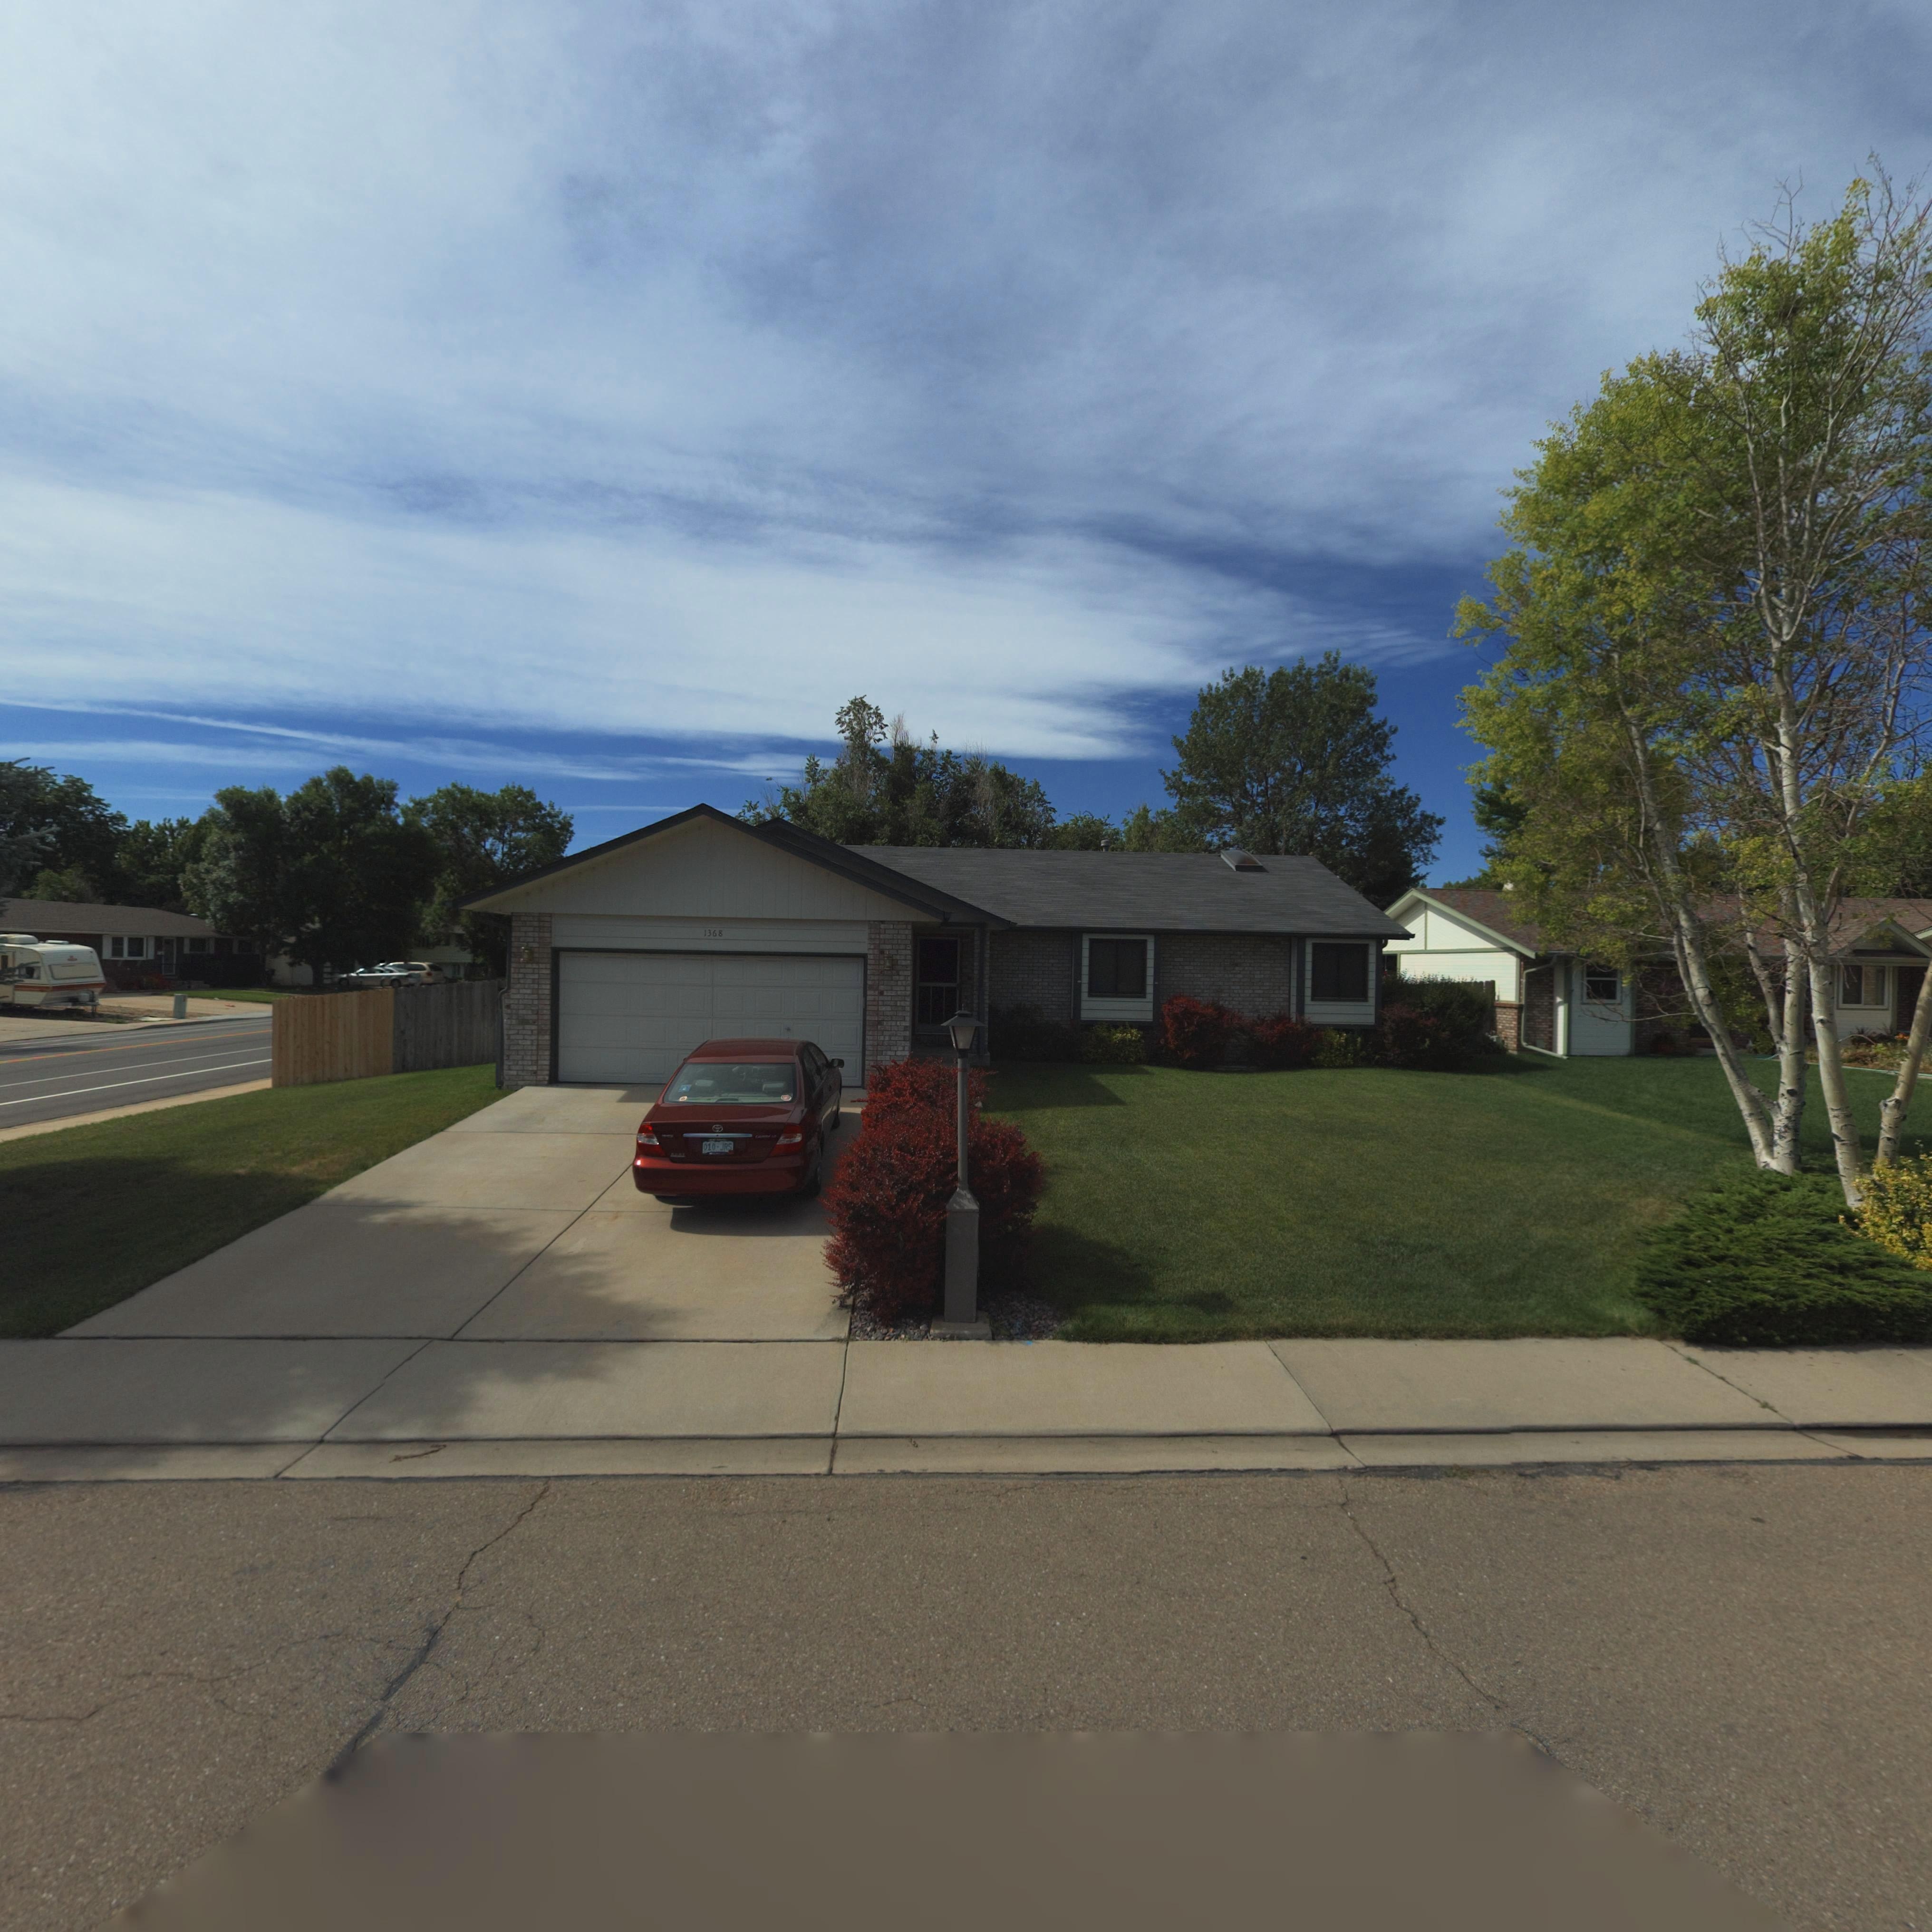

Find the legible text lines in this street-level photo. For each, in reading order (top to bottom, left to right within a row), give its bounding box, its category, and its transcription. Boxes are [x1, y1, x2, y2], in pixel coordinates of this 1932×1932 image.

[704, 929, 723, 937] StreetNumber: 1368